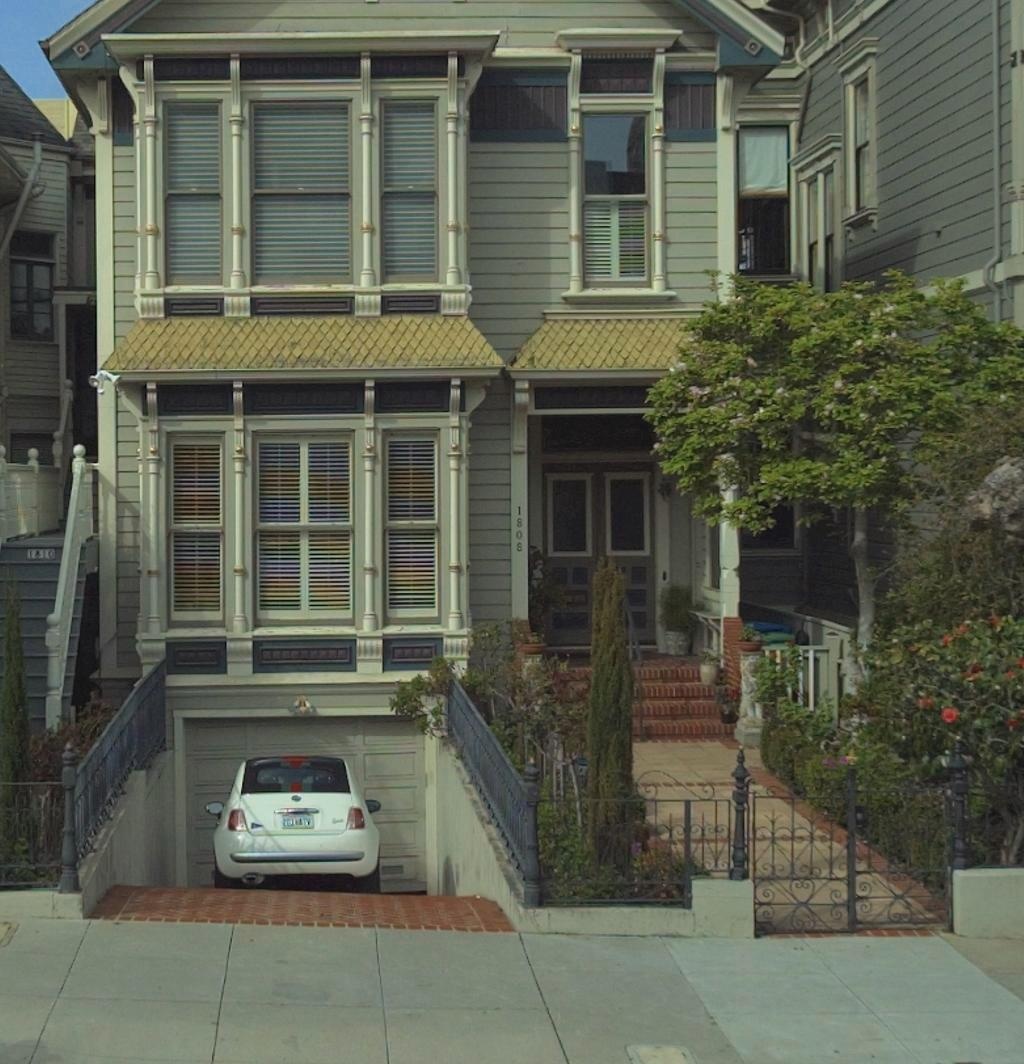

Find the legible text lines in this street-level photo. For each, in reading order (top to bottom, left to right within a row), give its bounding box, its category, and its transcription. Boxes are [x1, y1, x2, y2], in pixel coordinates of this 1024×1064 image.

[28, 548, 56, 560] StreetNumber: 1810
[512, 503, 526, 554] StreetNumber: 1808